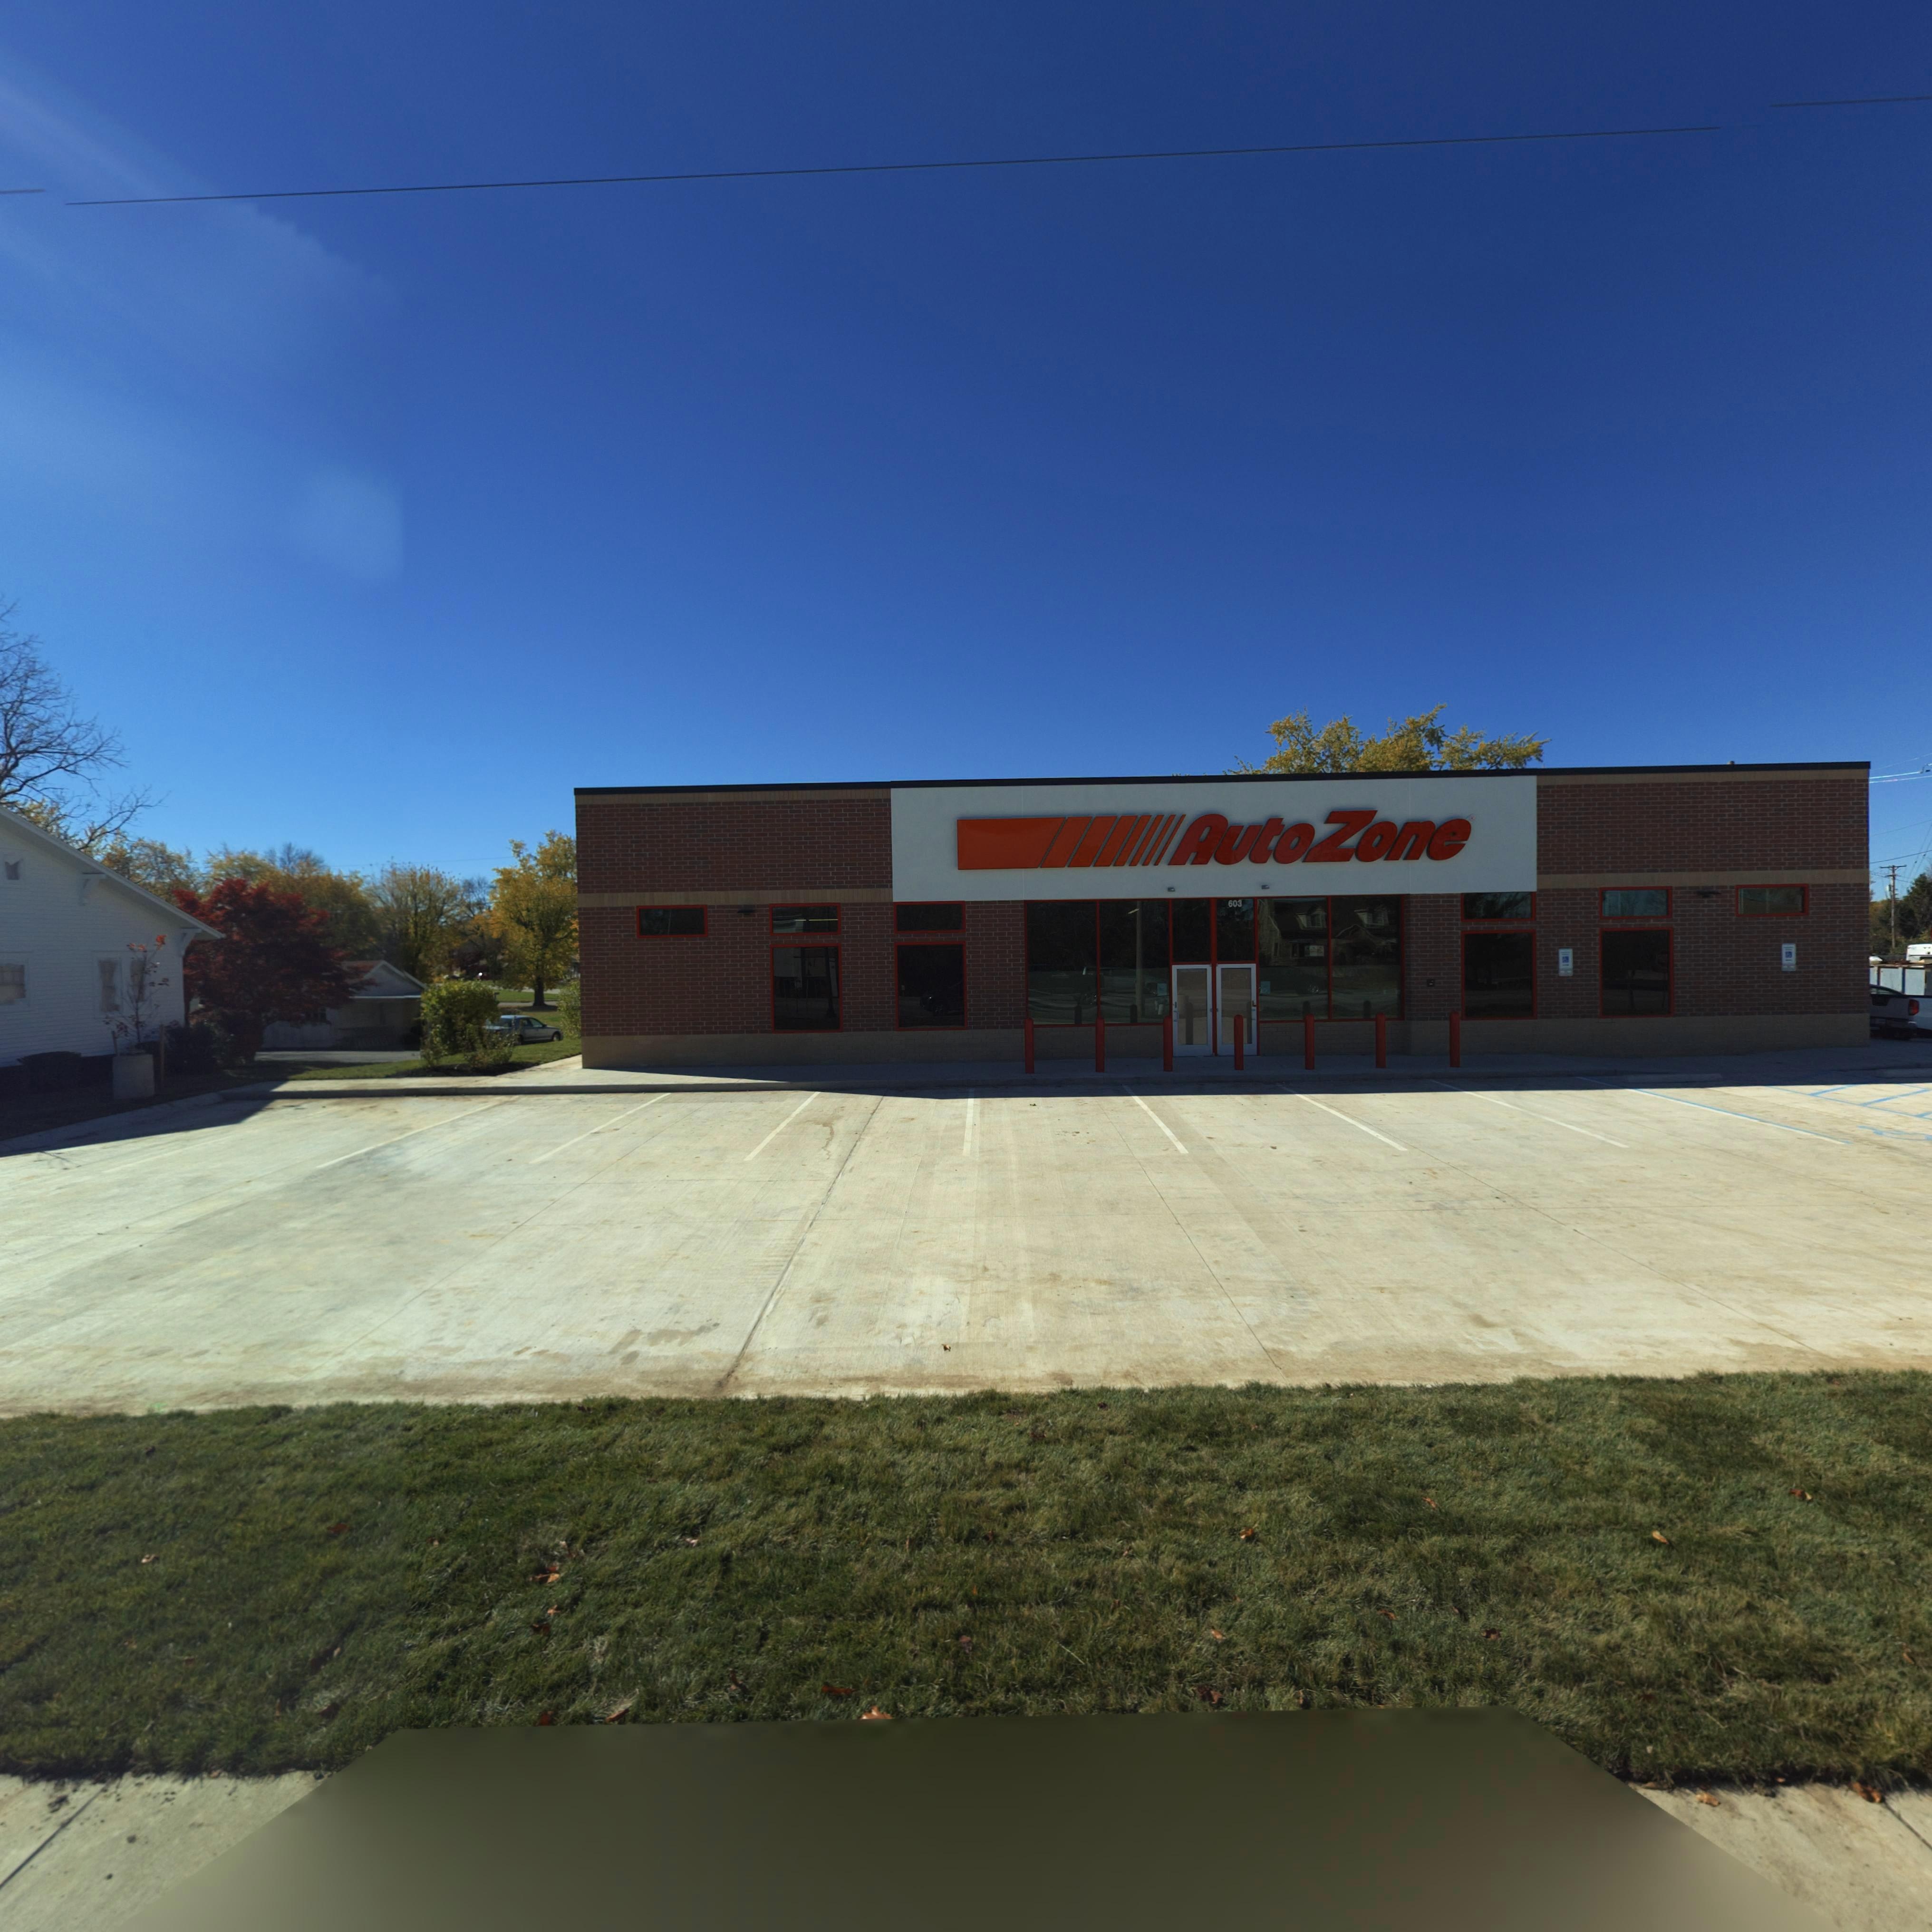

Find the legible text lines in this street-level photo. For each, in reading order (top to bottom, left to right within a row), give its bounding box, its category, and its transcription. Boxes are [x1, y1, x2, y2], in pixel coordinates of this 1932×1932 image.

[1165, 809, 1473, 866] BusinessName: AutoZone
[1227, 899, 1243, 908] StreetNumber: 603